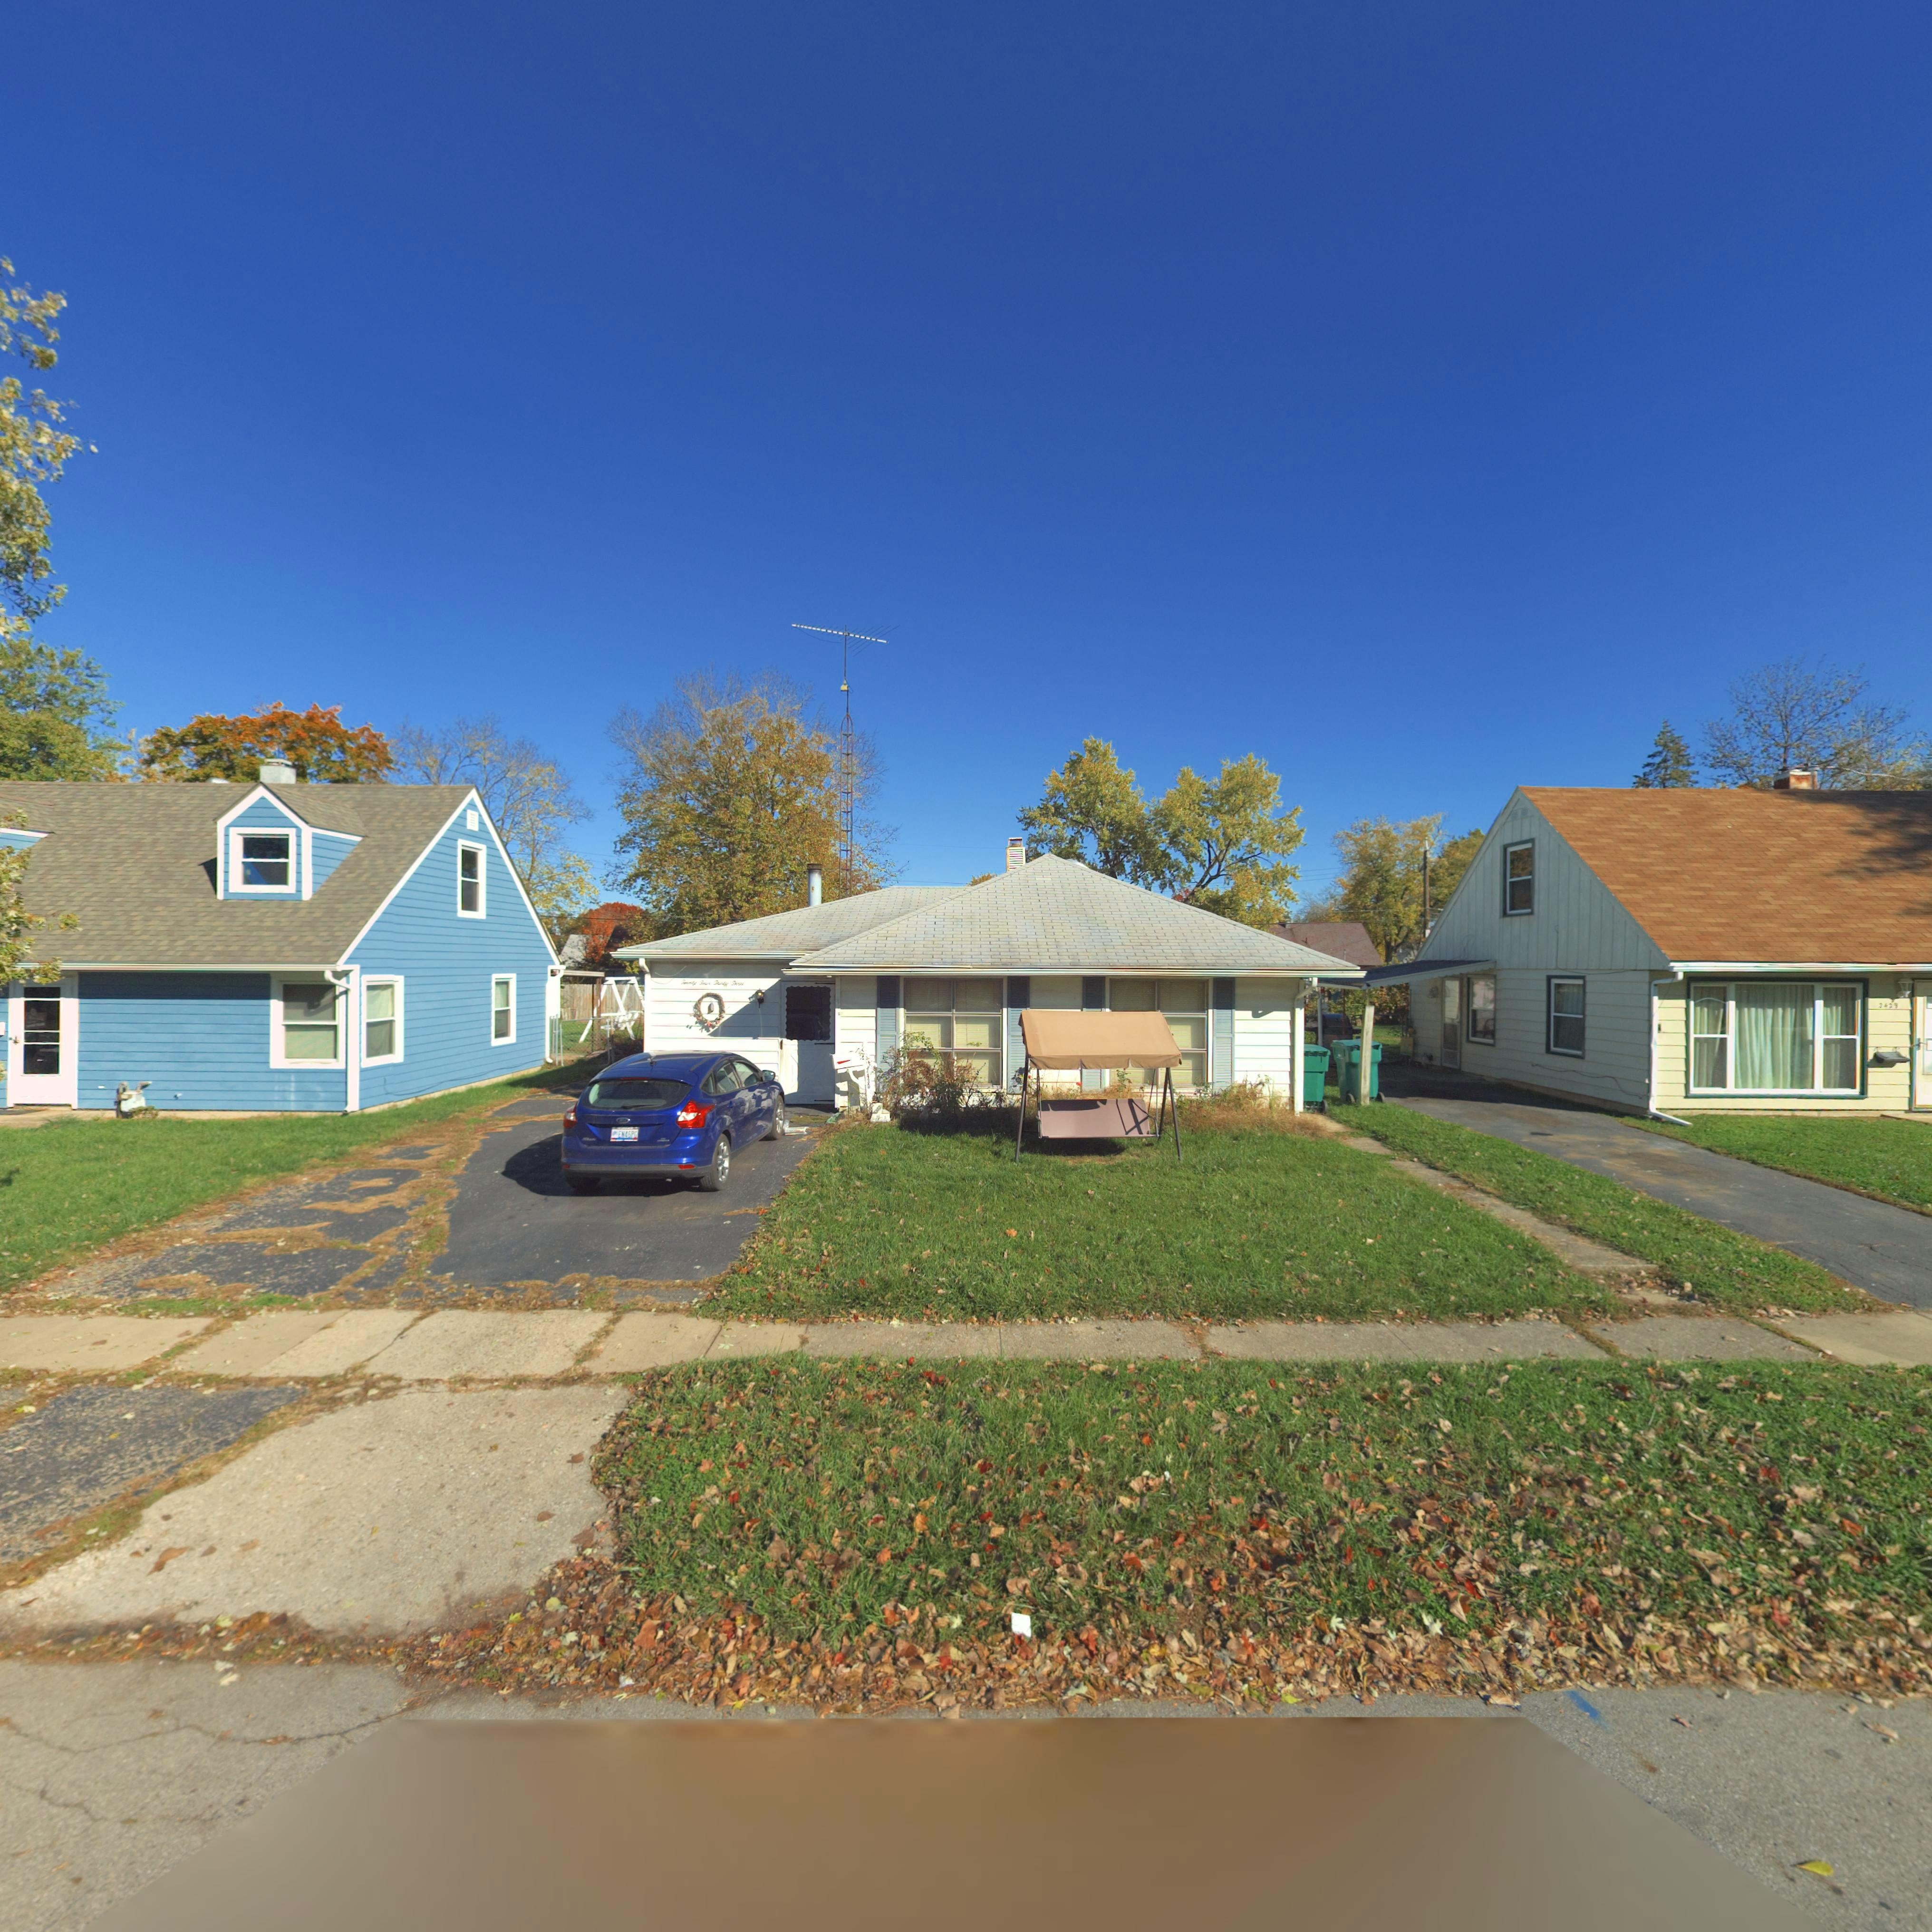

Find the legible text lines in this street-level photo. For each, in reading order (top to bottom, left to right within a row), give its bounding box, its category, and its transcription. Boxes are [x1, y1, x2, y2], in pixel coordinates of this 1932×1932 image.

[680, 979, 745, 987] StreetNumber: Twenty Four Thirty Three
[1877, 1002, 1899, 1009] StreetNumber: 2429